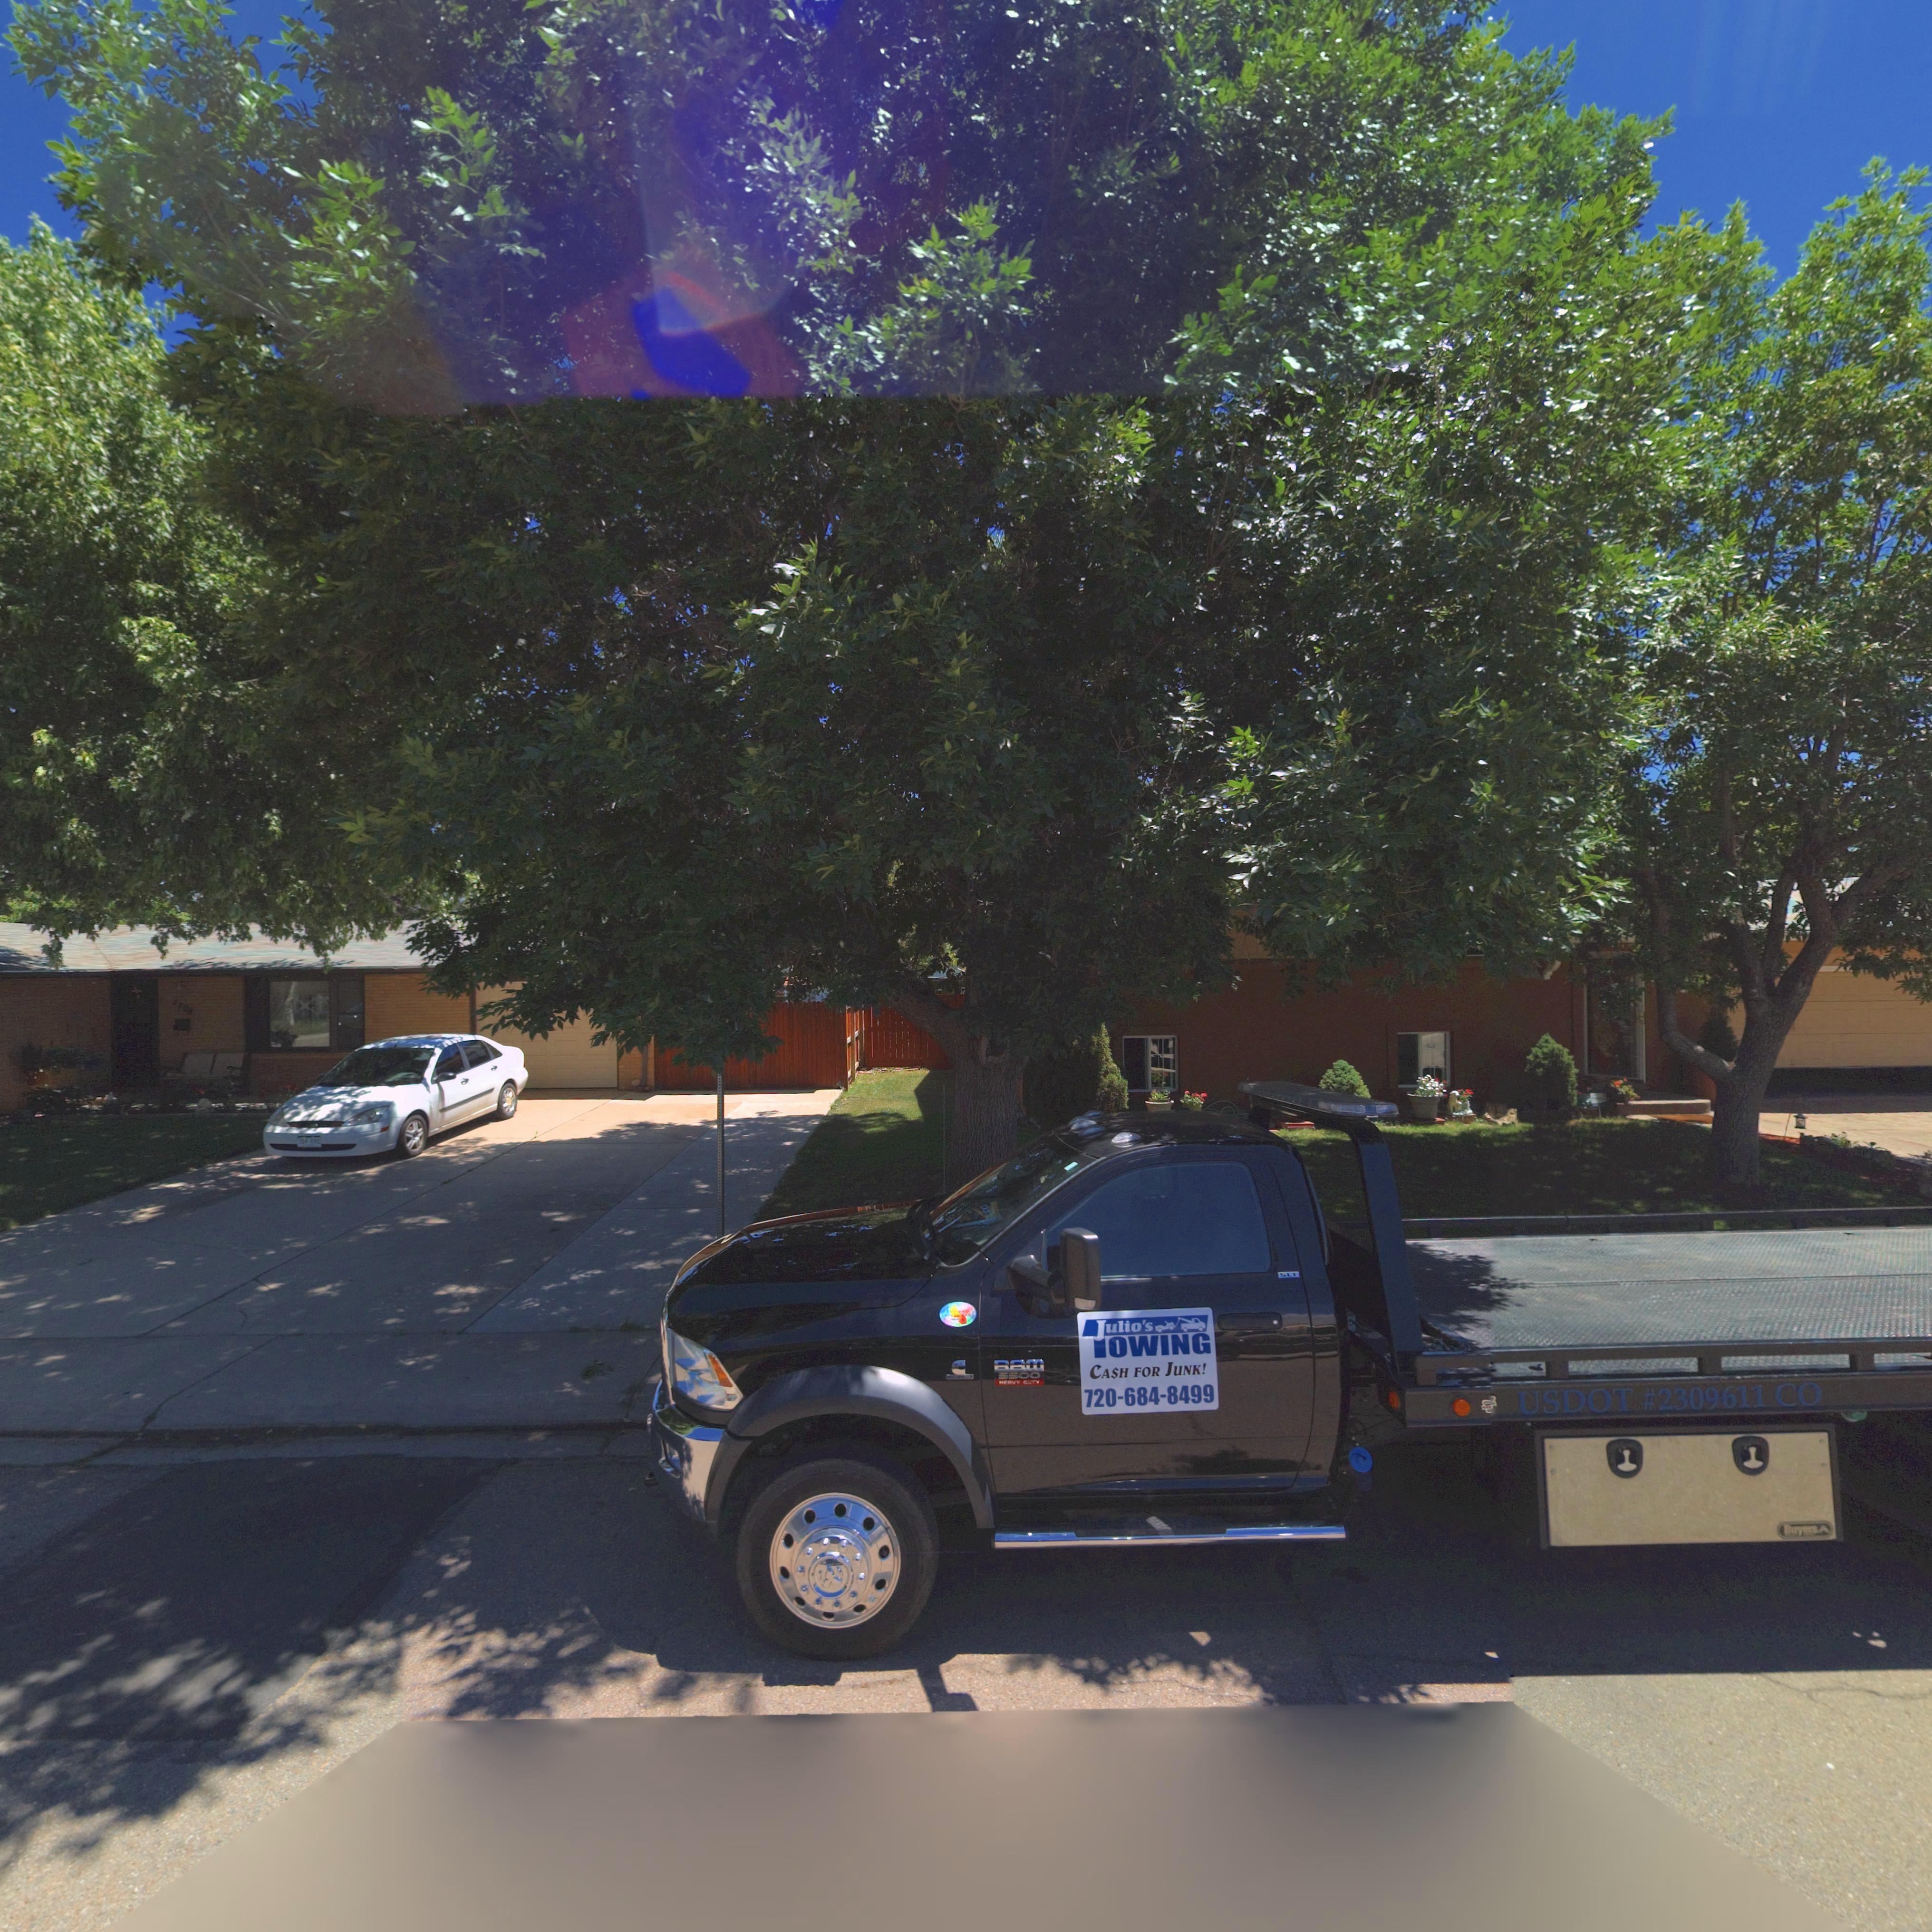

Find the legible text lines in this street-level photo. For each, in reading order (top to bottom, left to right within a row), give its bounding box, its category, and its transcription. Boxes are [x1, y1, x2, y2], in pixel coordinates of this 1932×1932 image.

[171, 997, 195, 1016] StreetNumber: 170*